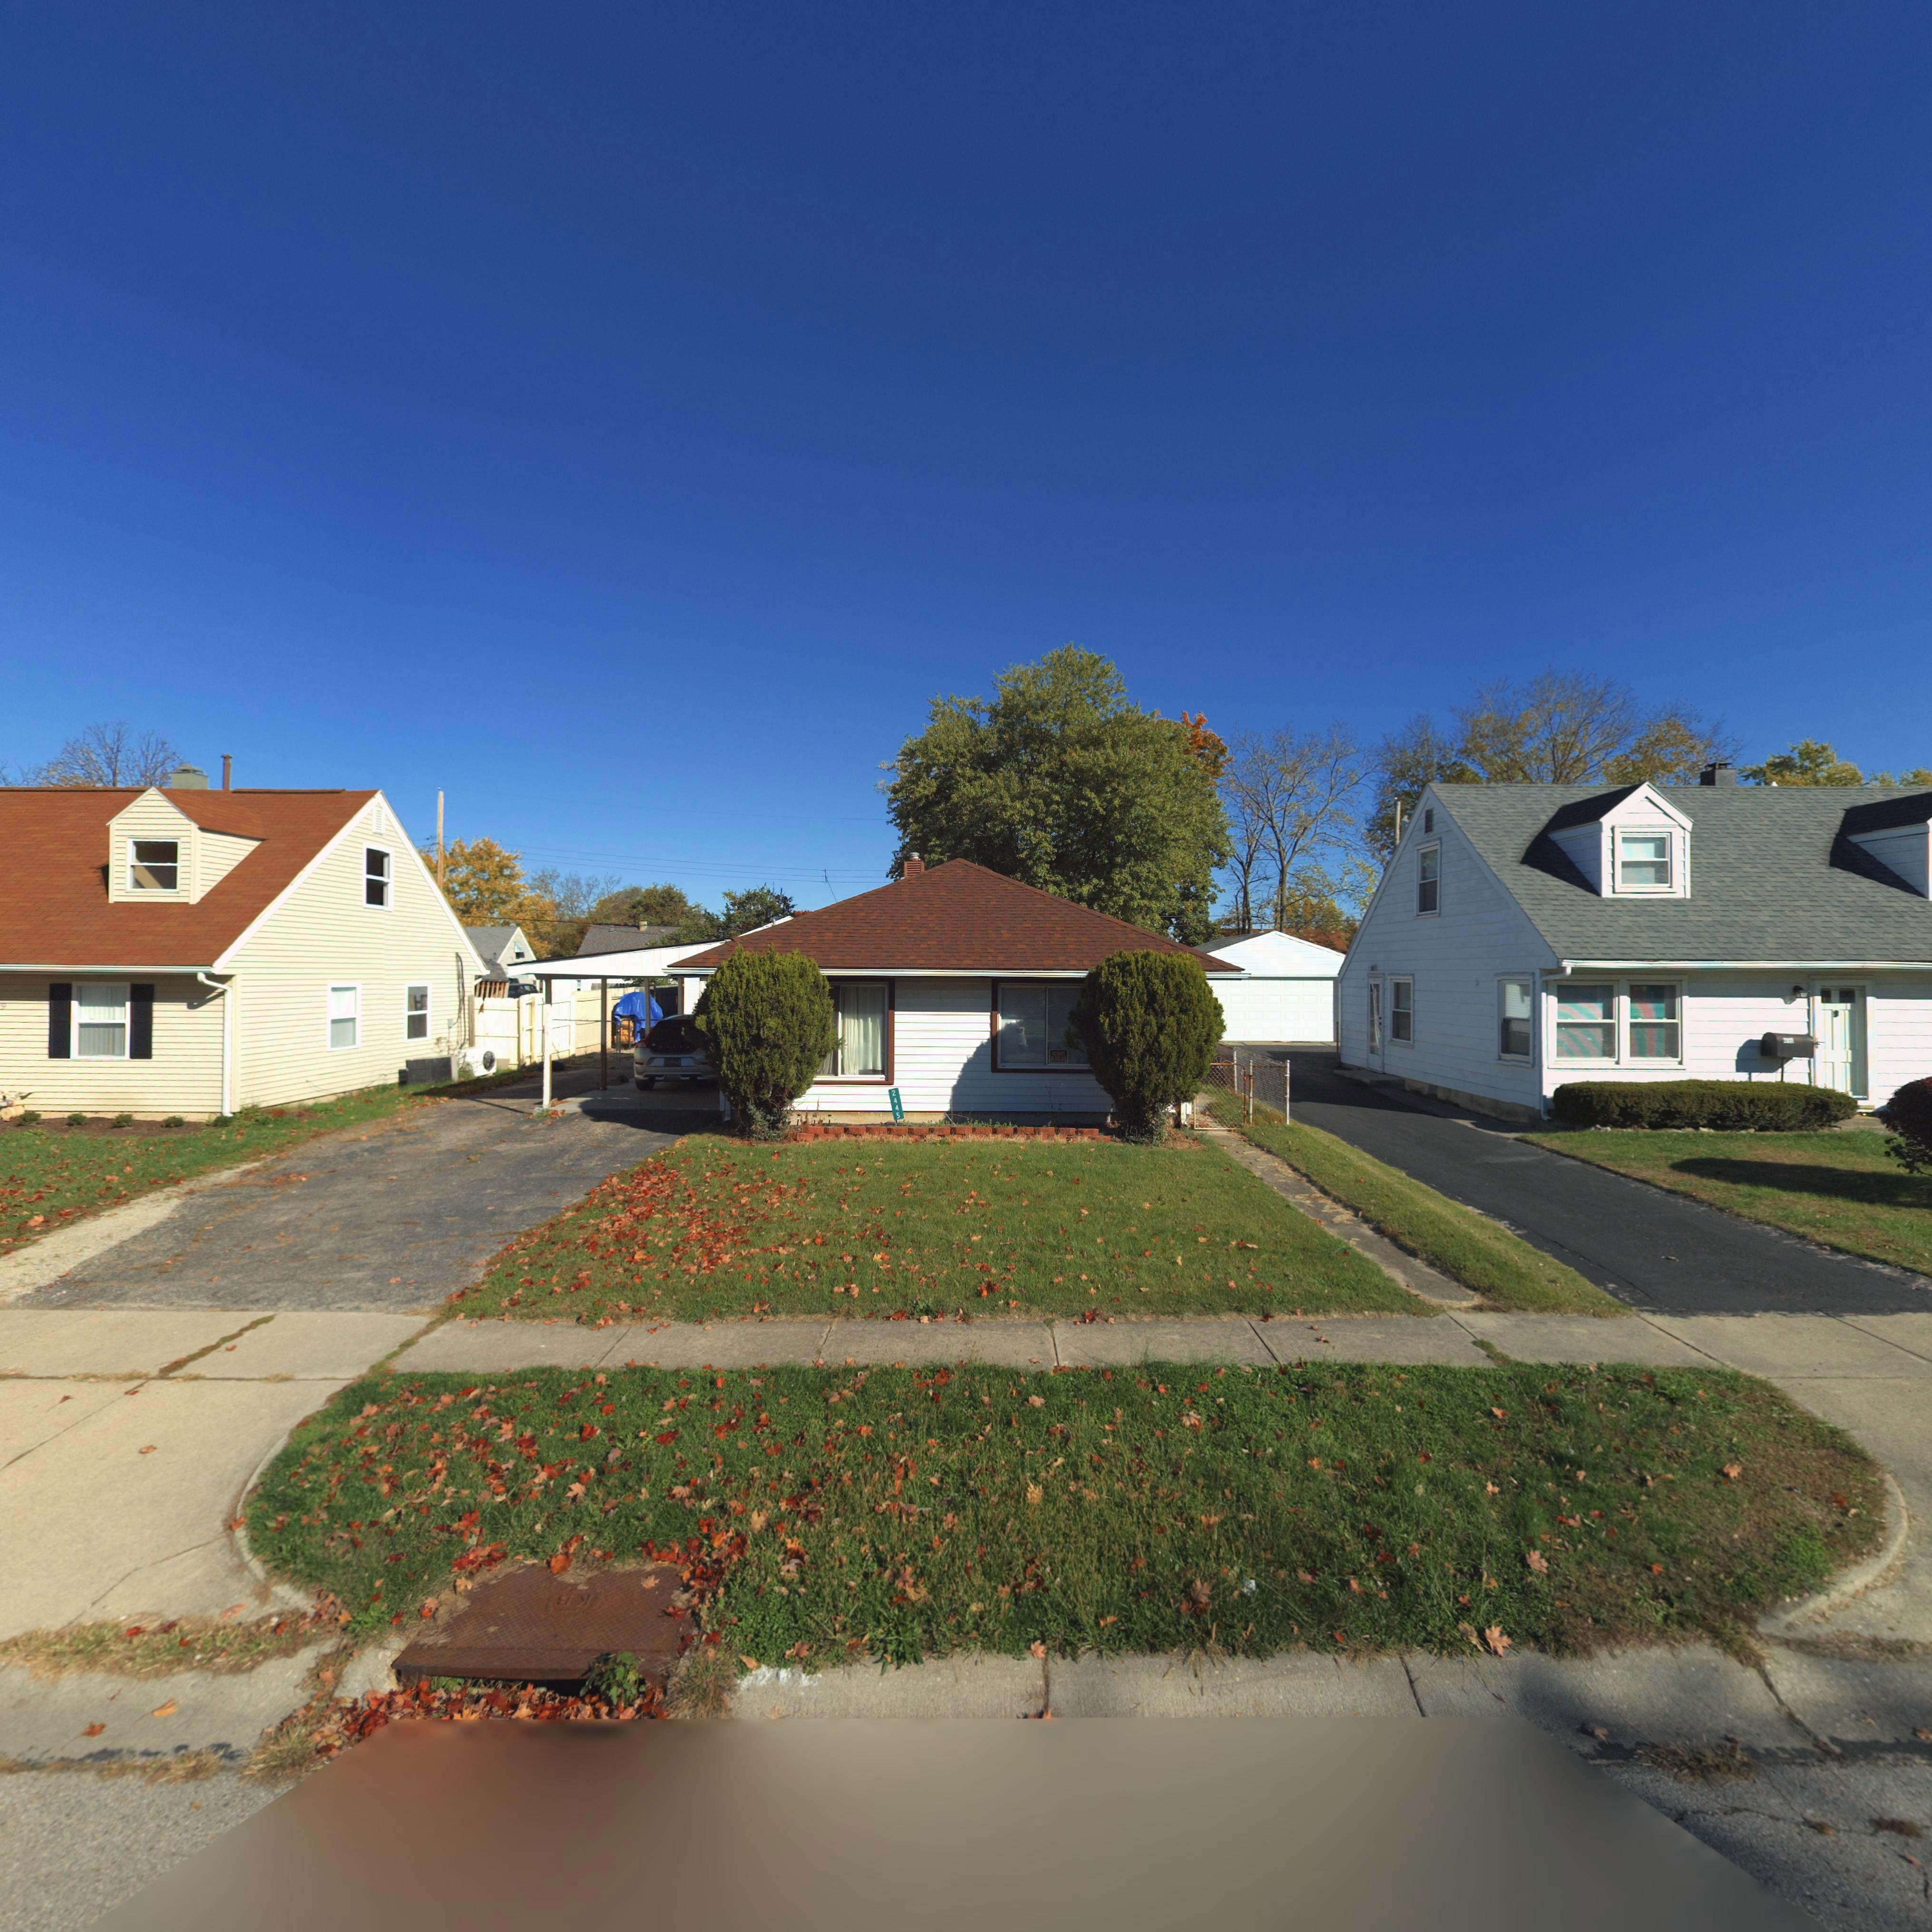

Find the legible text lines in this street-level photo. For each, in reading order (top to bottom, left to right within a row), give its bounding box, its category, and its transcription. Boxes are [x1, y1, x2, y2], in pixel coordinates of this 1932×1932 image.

[0, 1002, 7, 1010] StreetNumber: 9
[1782, 1037, 1795, 1044] StreetNumber: 2***
[891, 1089, 901, 1119] StreetNumber: 2445